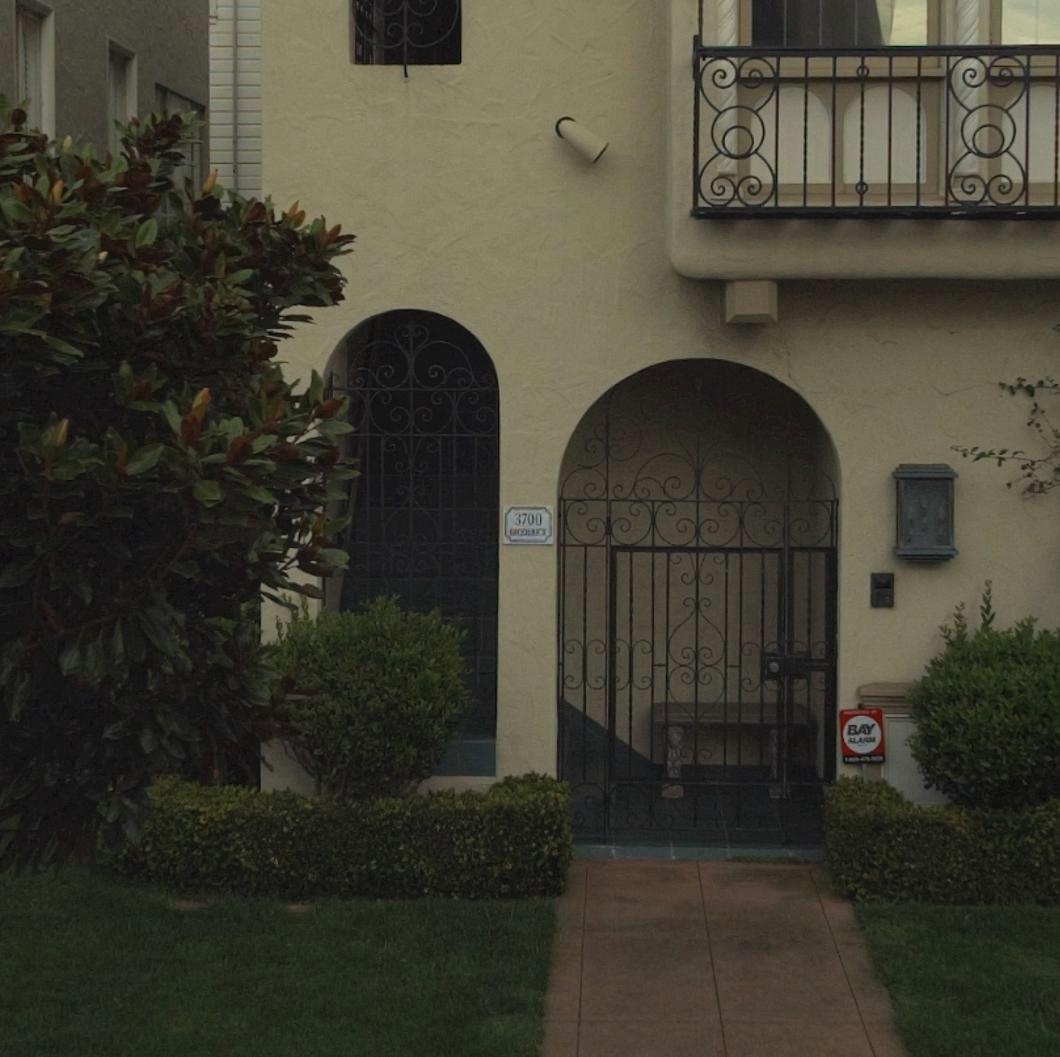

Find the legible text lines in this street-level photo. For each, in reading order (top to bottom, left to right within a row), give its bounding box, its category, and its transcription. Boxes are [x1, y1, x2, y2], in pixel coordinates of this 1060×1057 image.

[513, 510, 544, 528] StreetNumber: 3700
[844, 721, 877, 738] None: BAY
[845, 735, 879, 747] None: ALARM